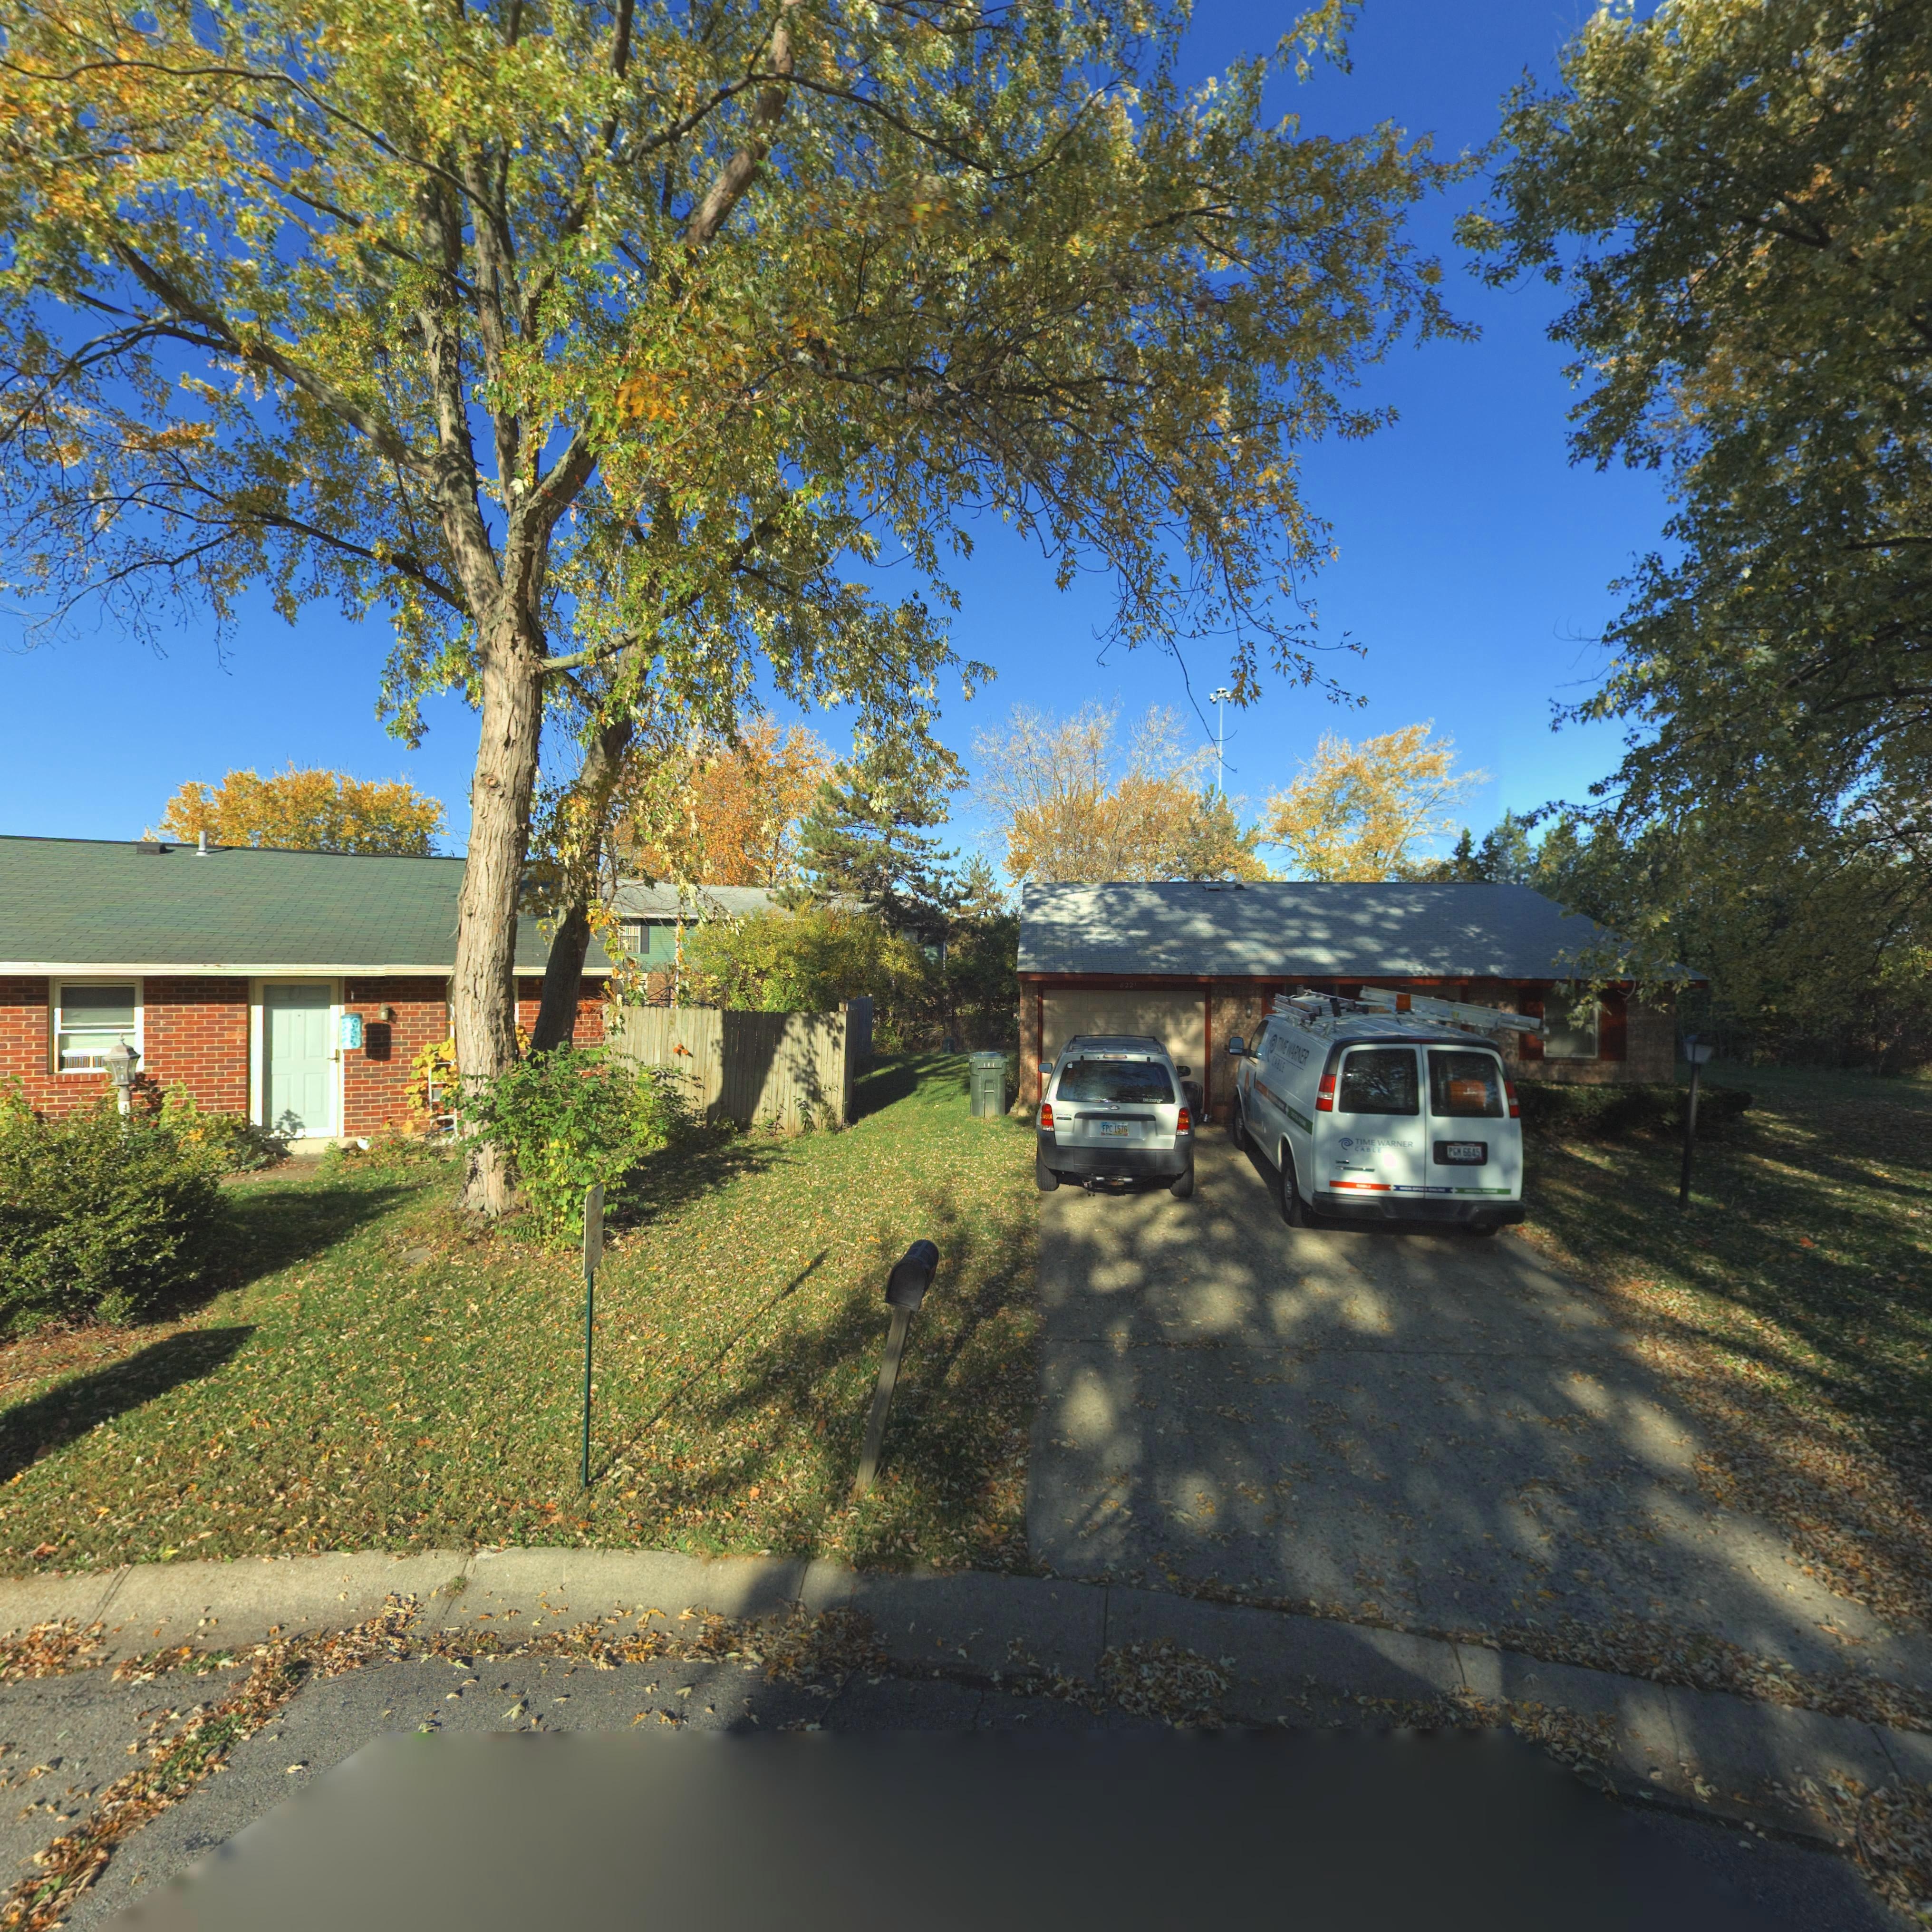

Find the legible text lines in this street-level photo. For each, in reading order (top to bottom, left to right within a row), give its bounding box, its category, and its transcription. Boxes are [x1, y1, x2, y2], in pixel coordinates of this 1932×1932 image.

[1119, 982, 1137, 989] StreetNumber: 8221